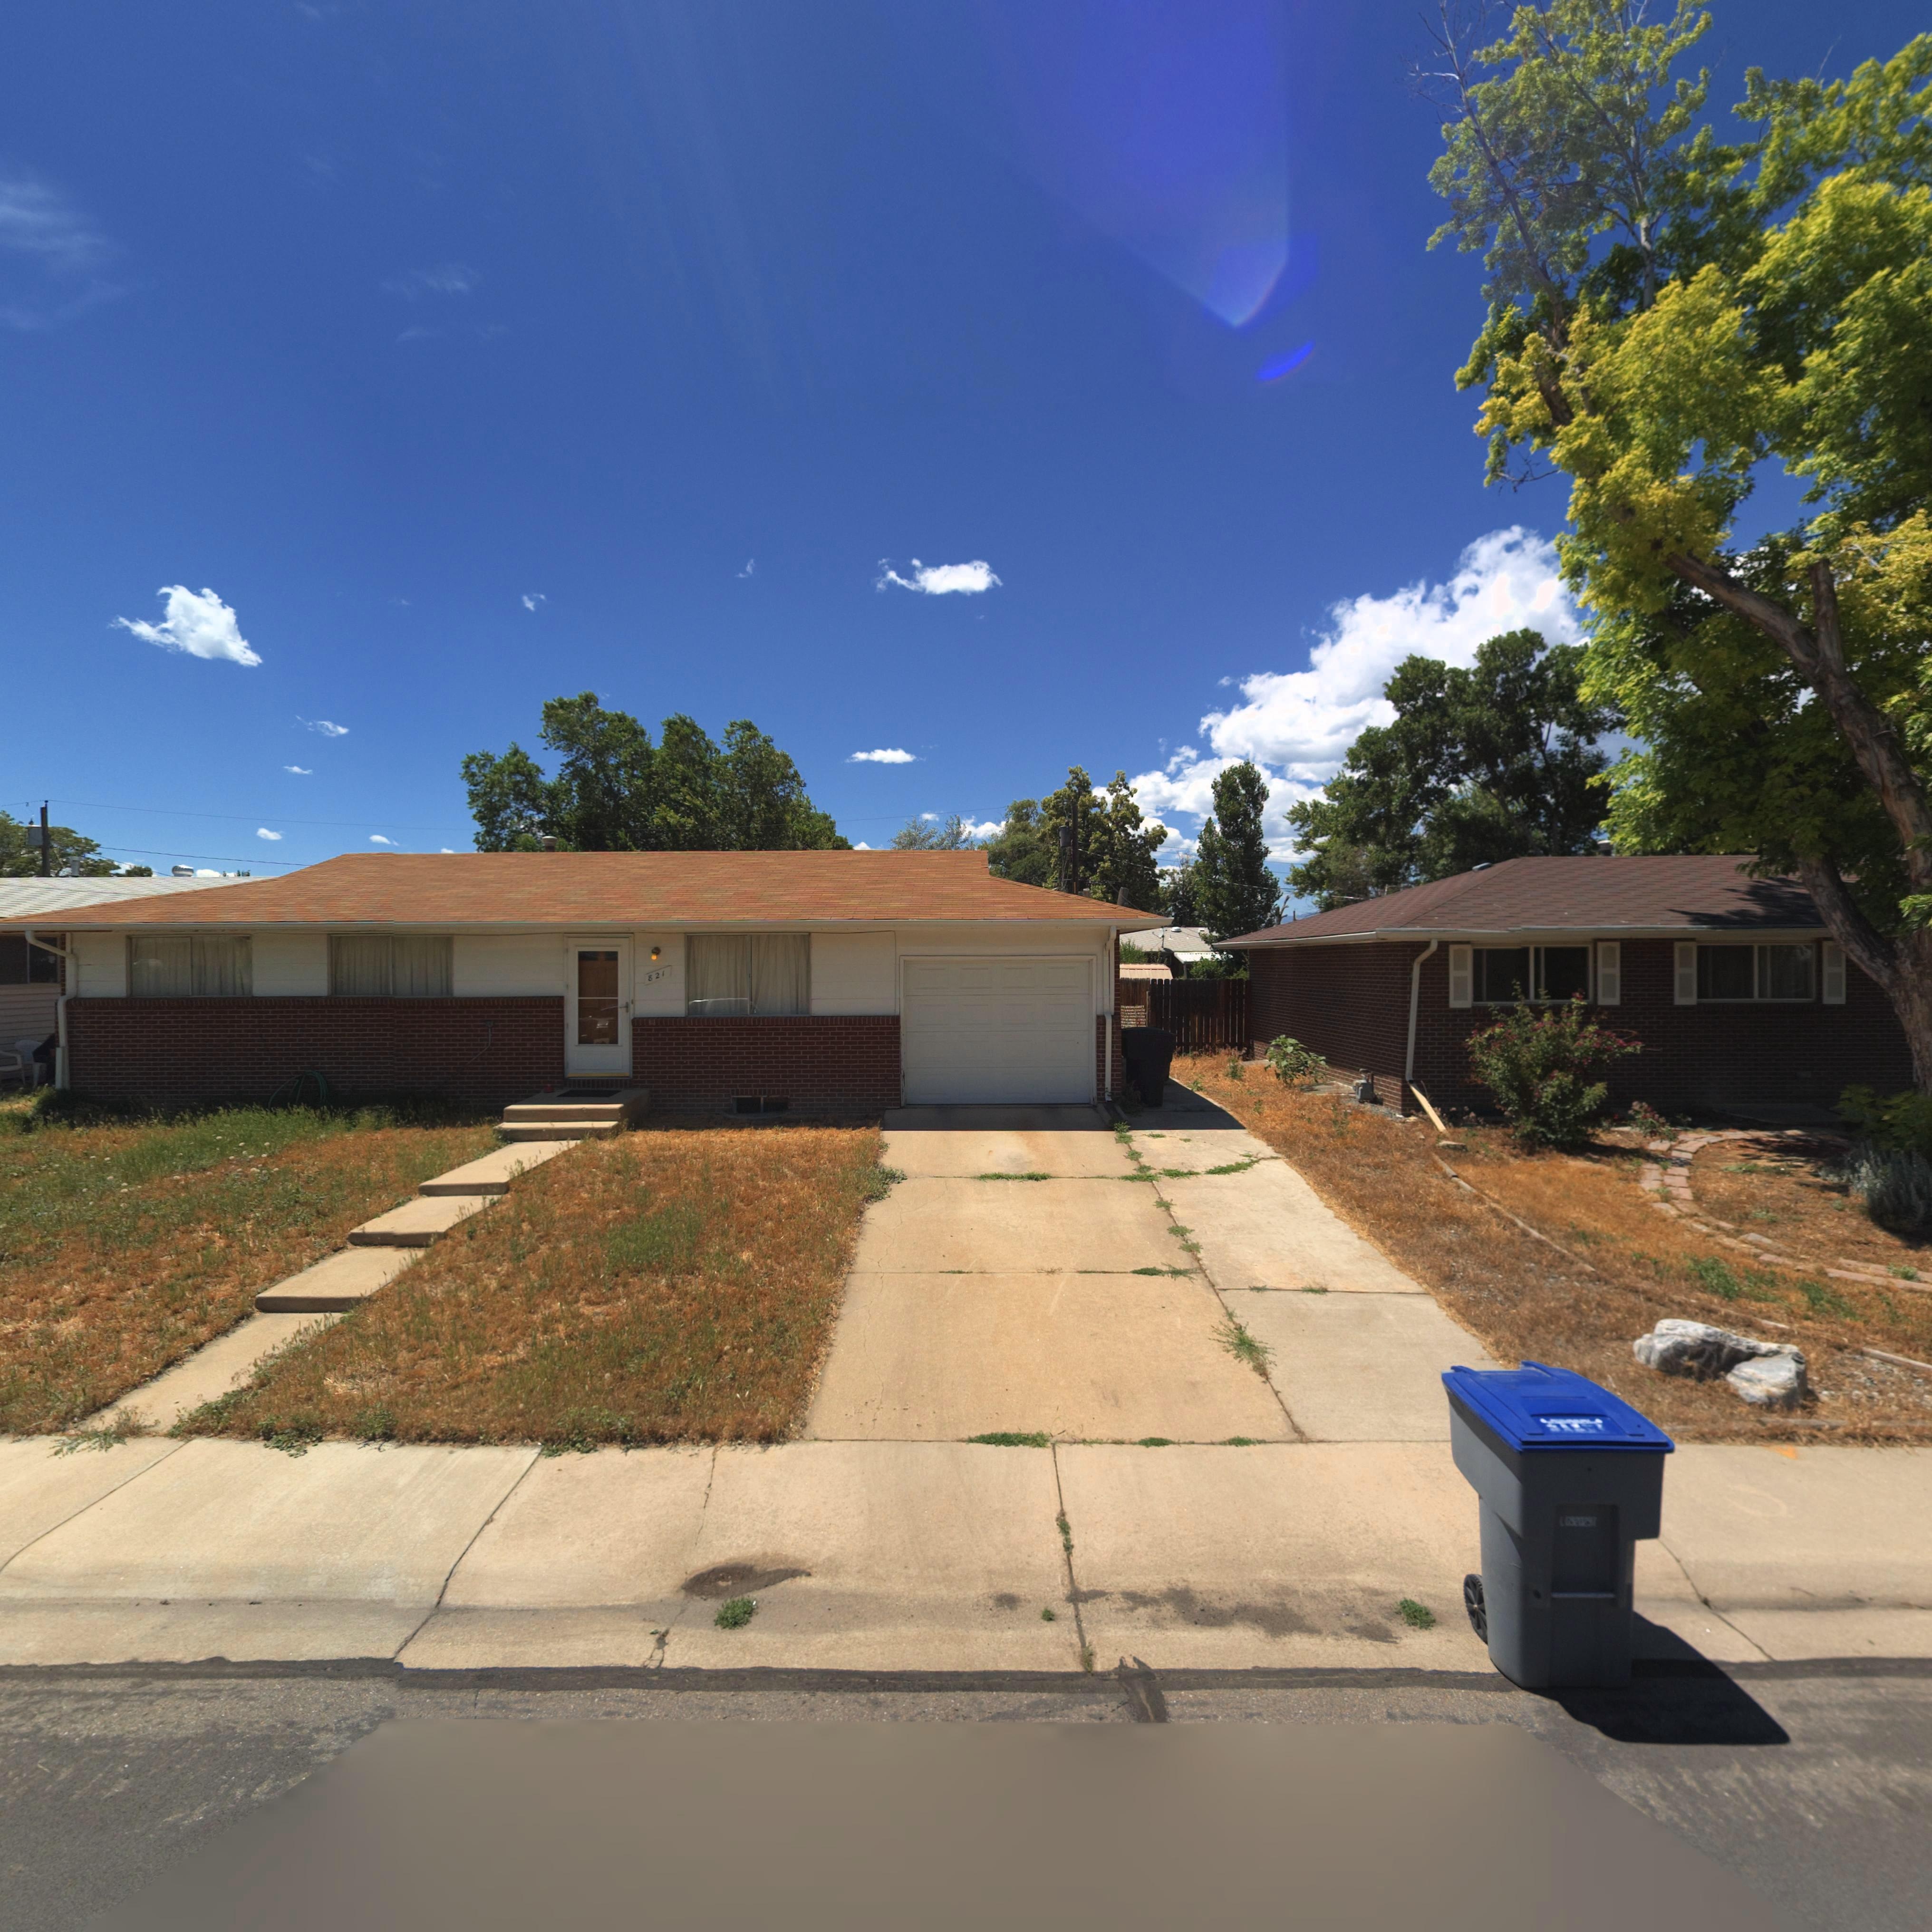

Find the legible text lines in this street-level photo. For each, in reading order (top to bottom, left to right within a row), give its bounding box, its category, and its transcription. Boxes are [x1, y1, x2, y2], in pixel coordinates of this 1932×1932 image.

[647, 969, 665, 982] StreetNumber: 821